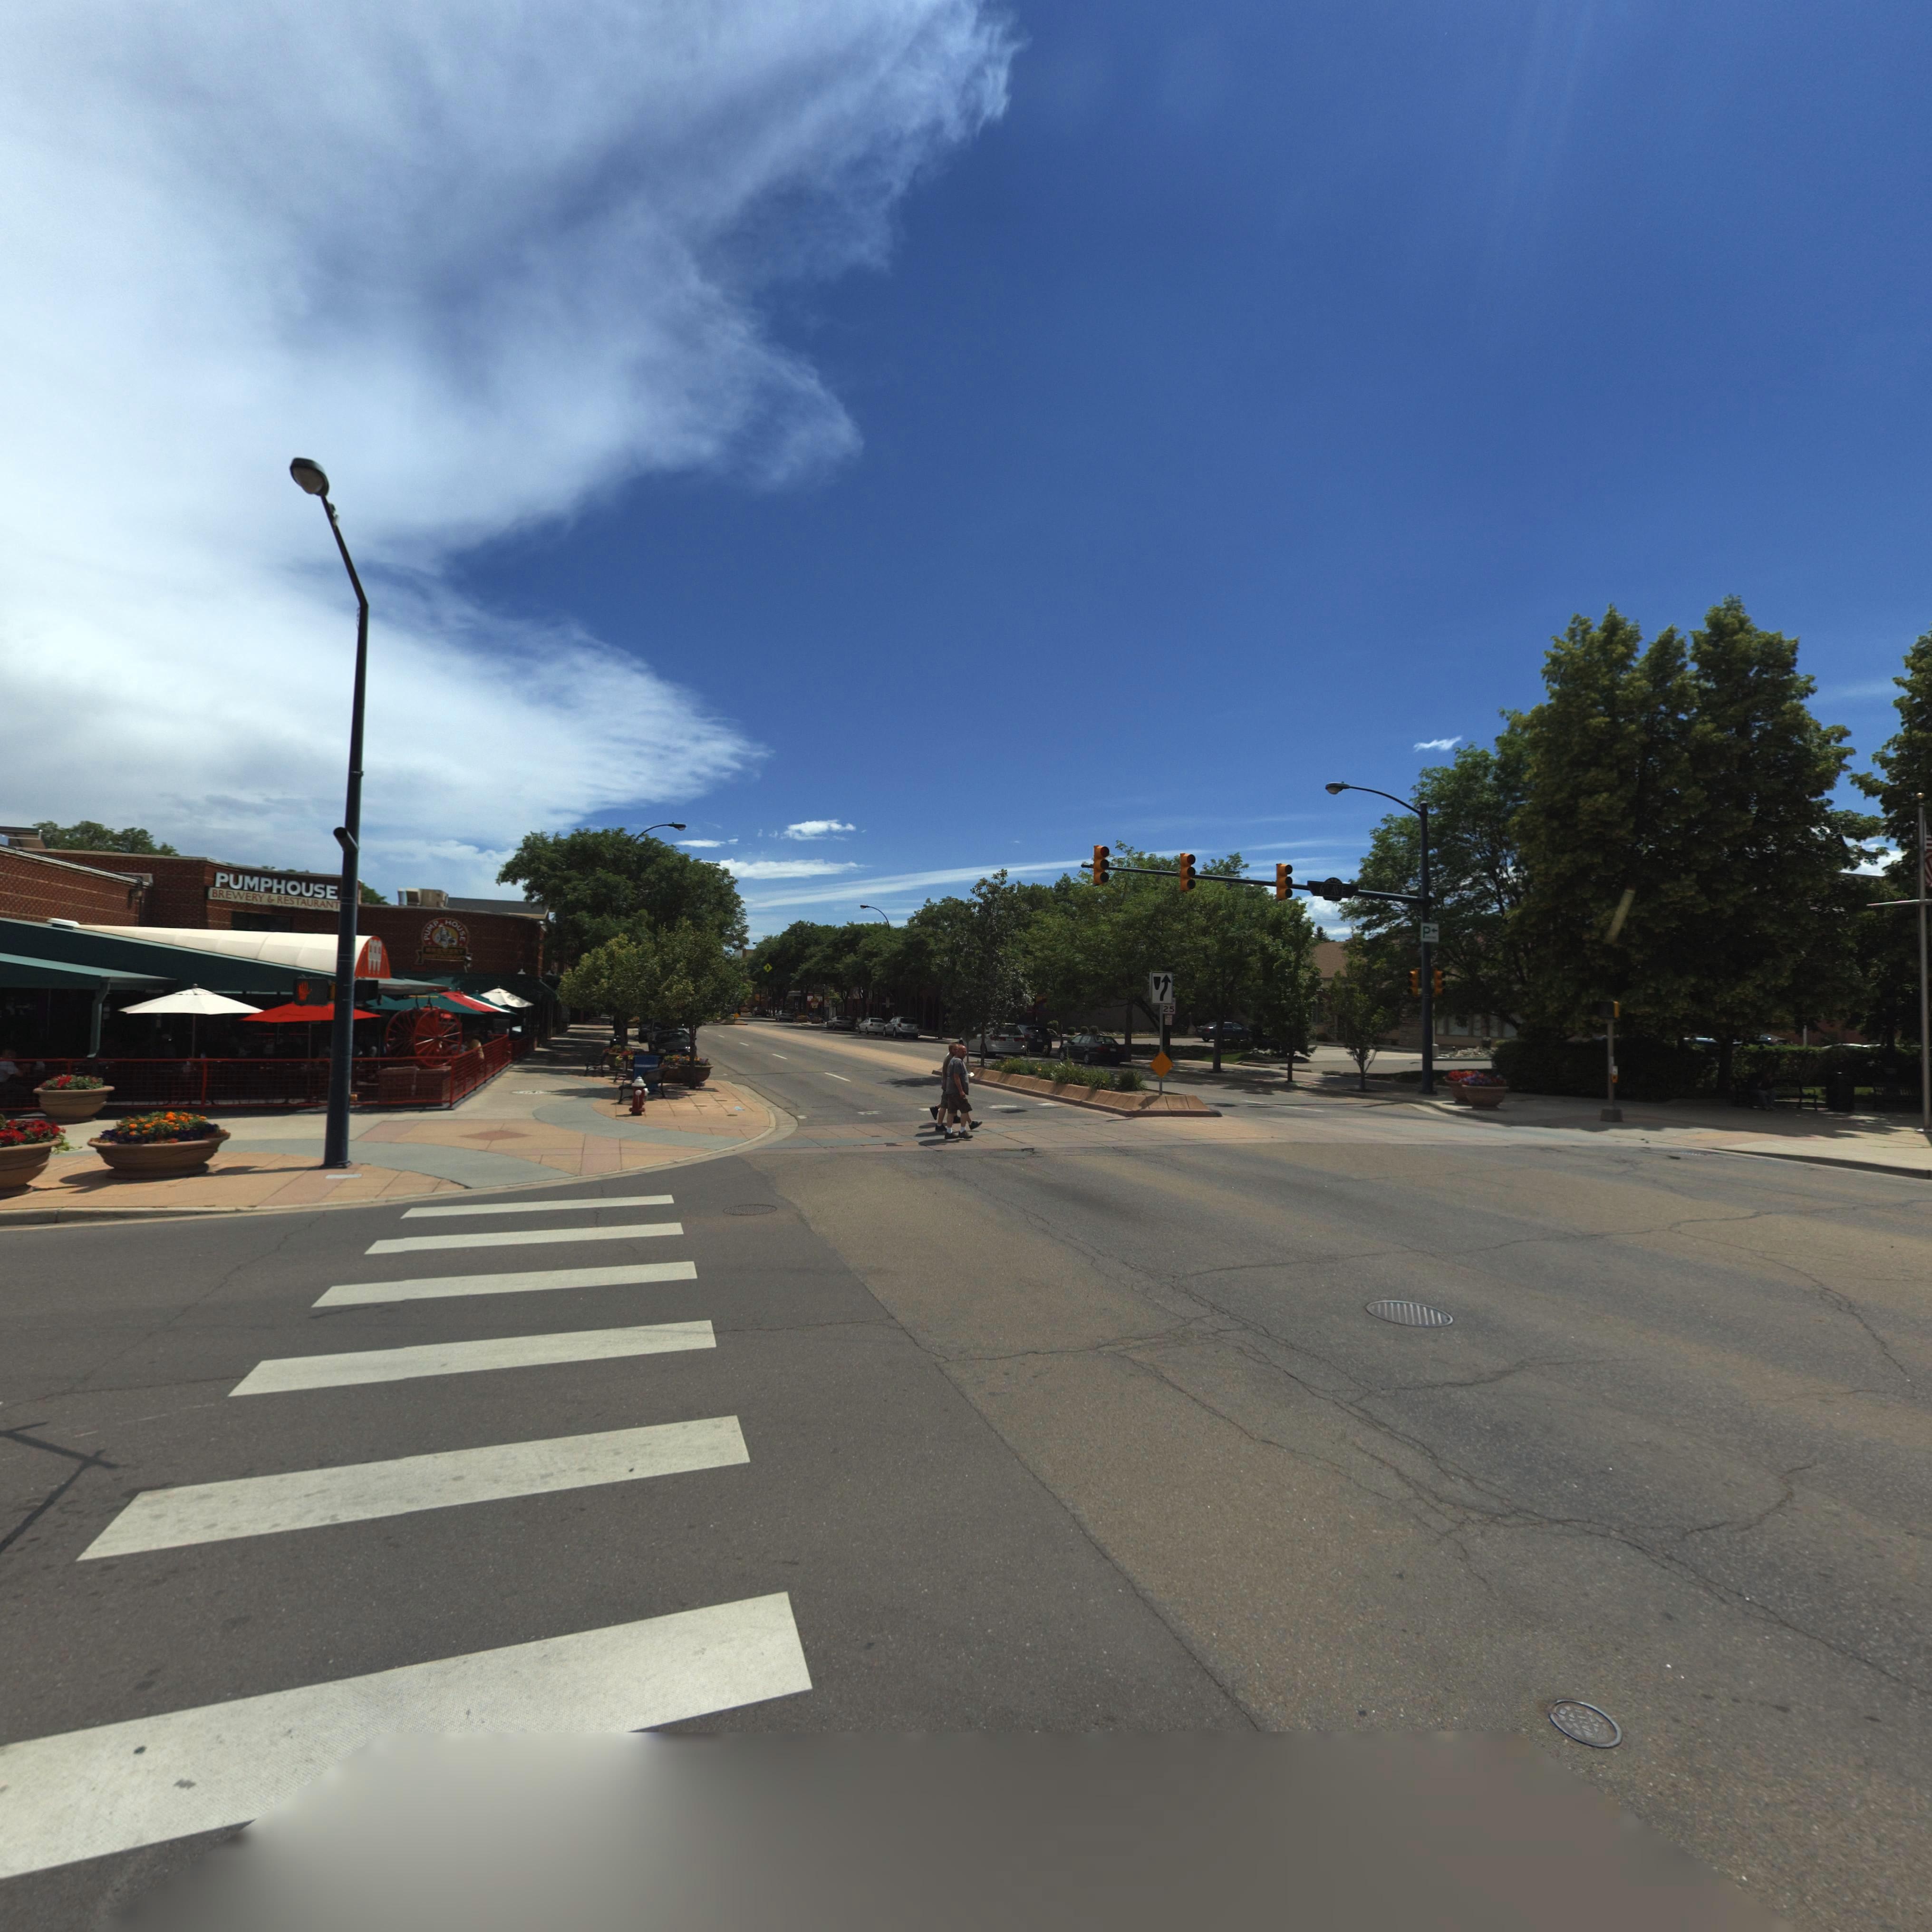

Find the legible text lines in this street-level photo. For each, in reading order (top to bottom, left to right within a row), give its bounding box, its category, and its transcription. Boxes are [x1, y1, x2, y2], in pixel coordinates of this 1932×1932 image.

[214, 870, 338, 900] BusinessName: PUMPHOUSE
[212, 888, 341, 909] BusinessName: BREWERY & RESTAURANT
[1319, 883, 1347, 896] StreetName: 6TH AVE
[423, 918, 466, 942] BusinessName: PUMP HOUSE